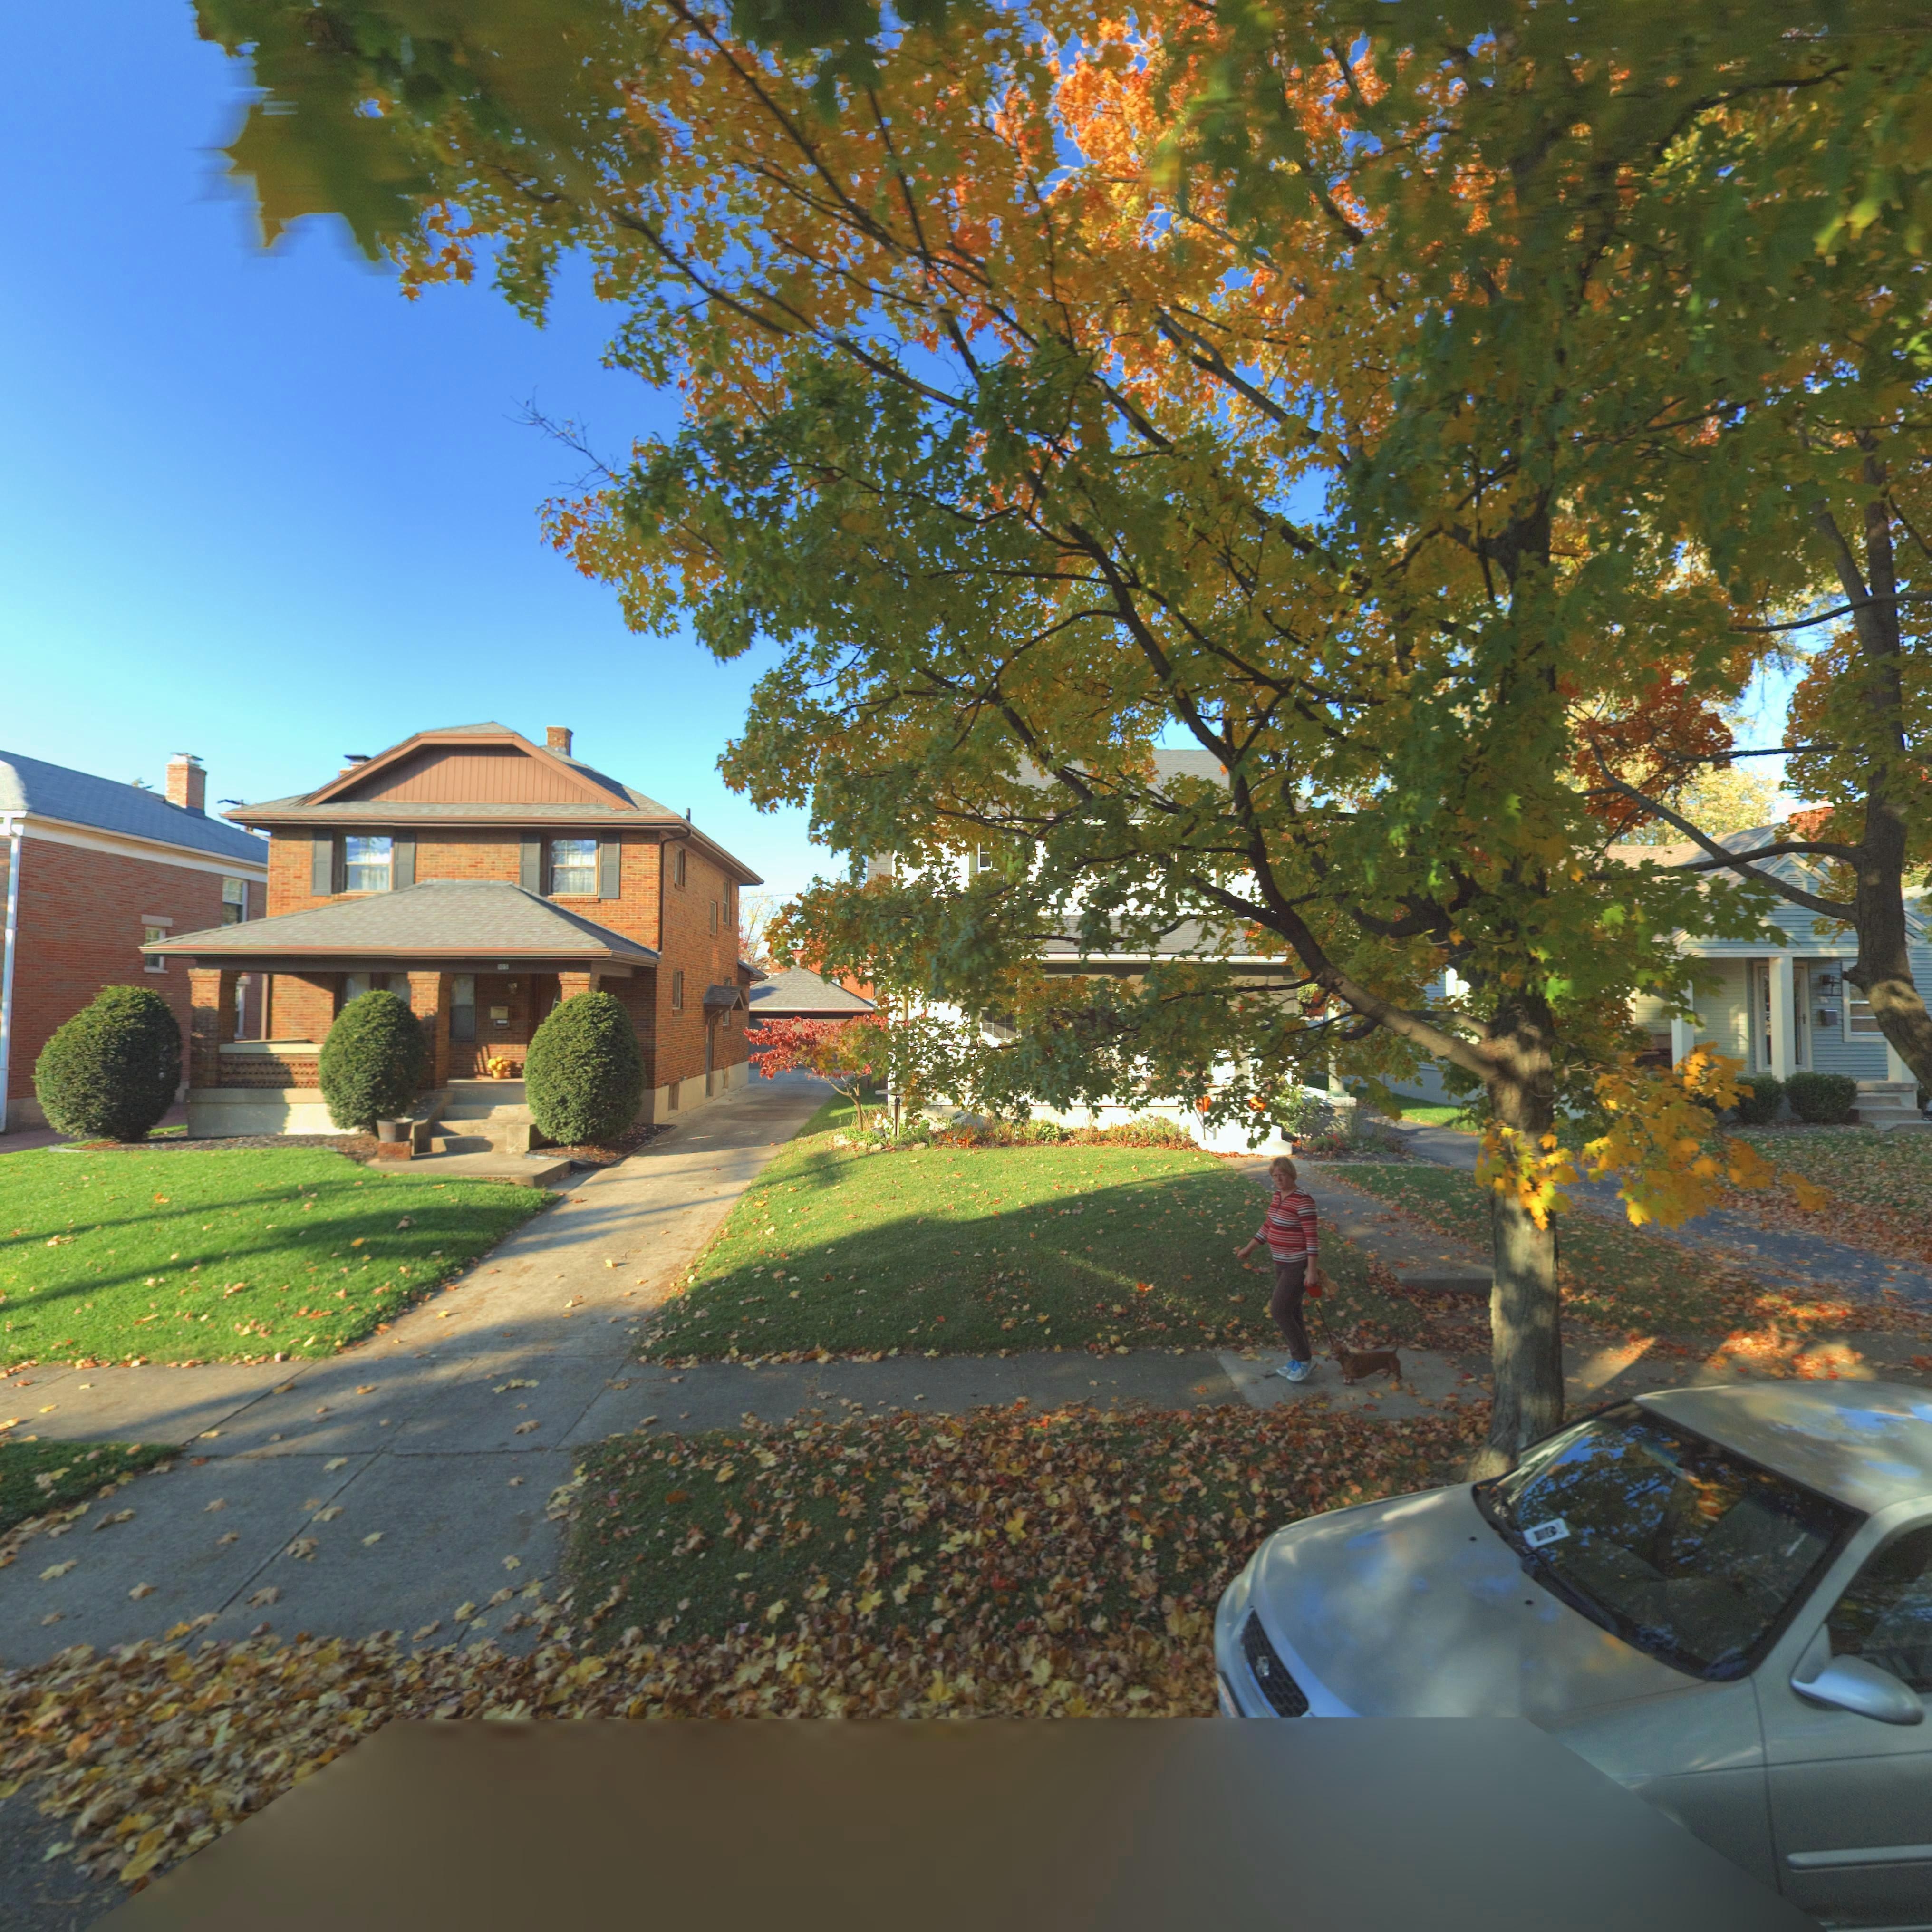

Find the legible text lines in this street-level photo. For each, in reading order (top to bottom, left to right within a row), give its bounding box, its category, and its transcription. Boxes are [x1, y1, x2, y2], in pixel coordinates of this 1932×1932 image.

[497, 963, 508, 969] StreetNumber: 105